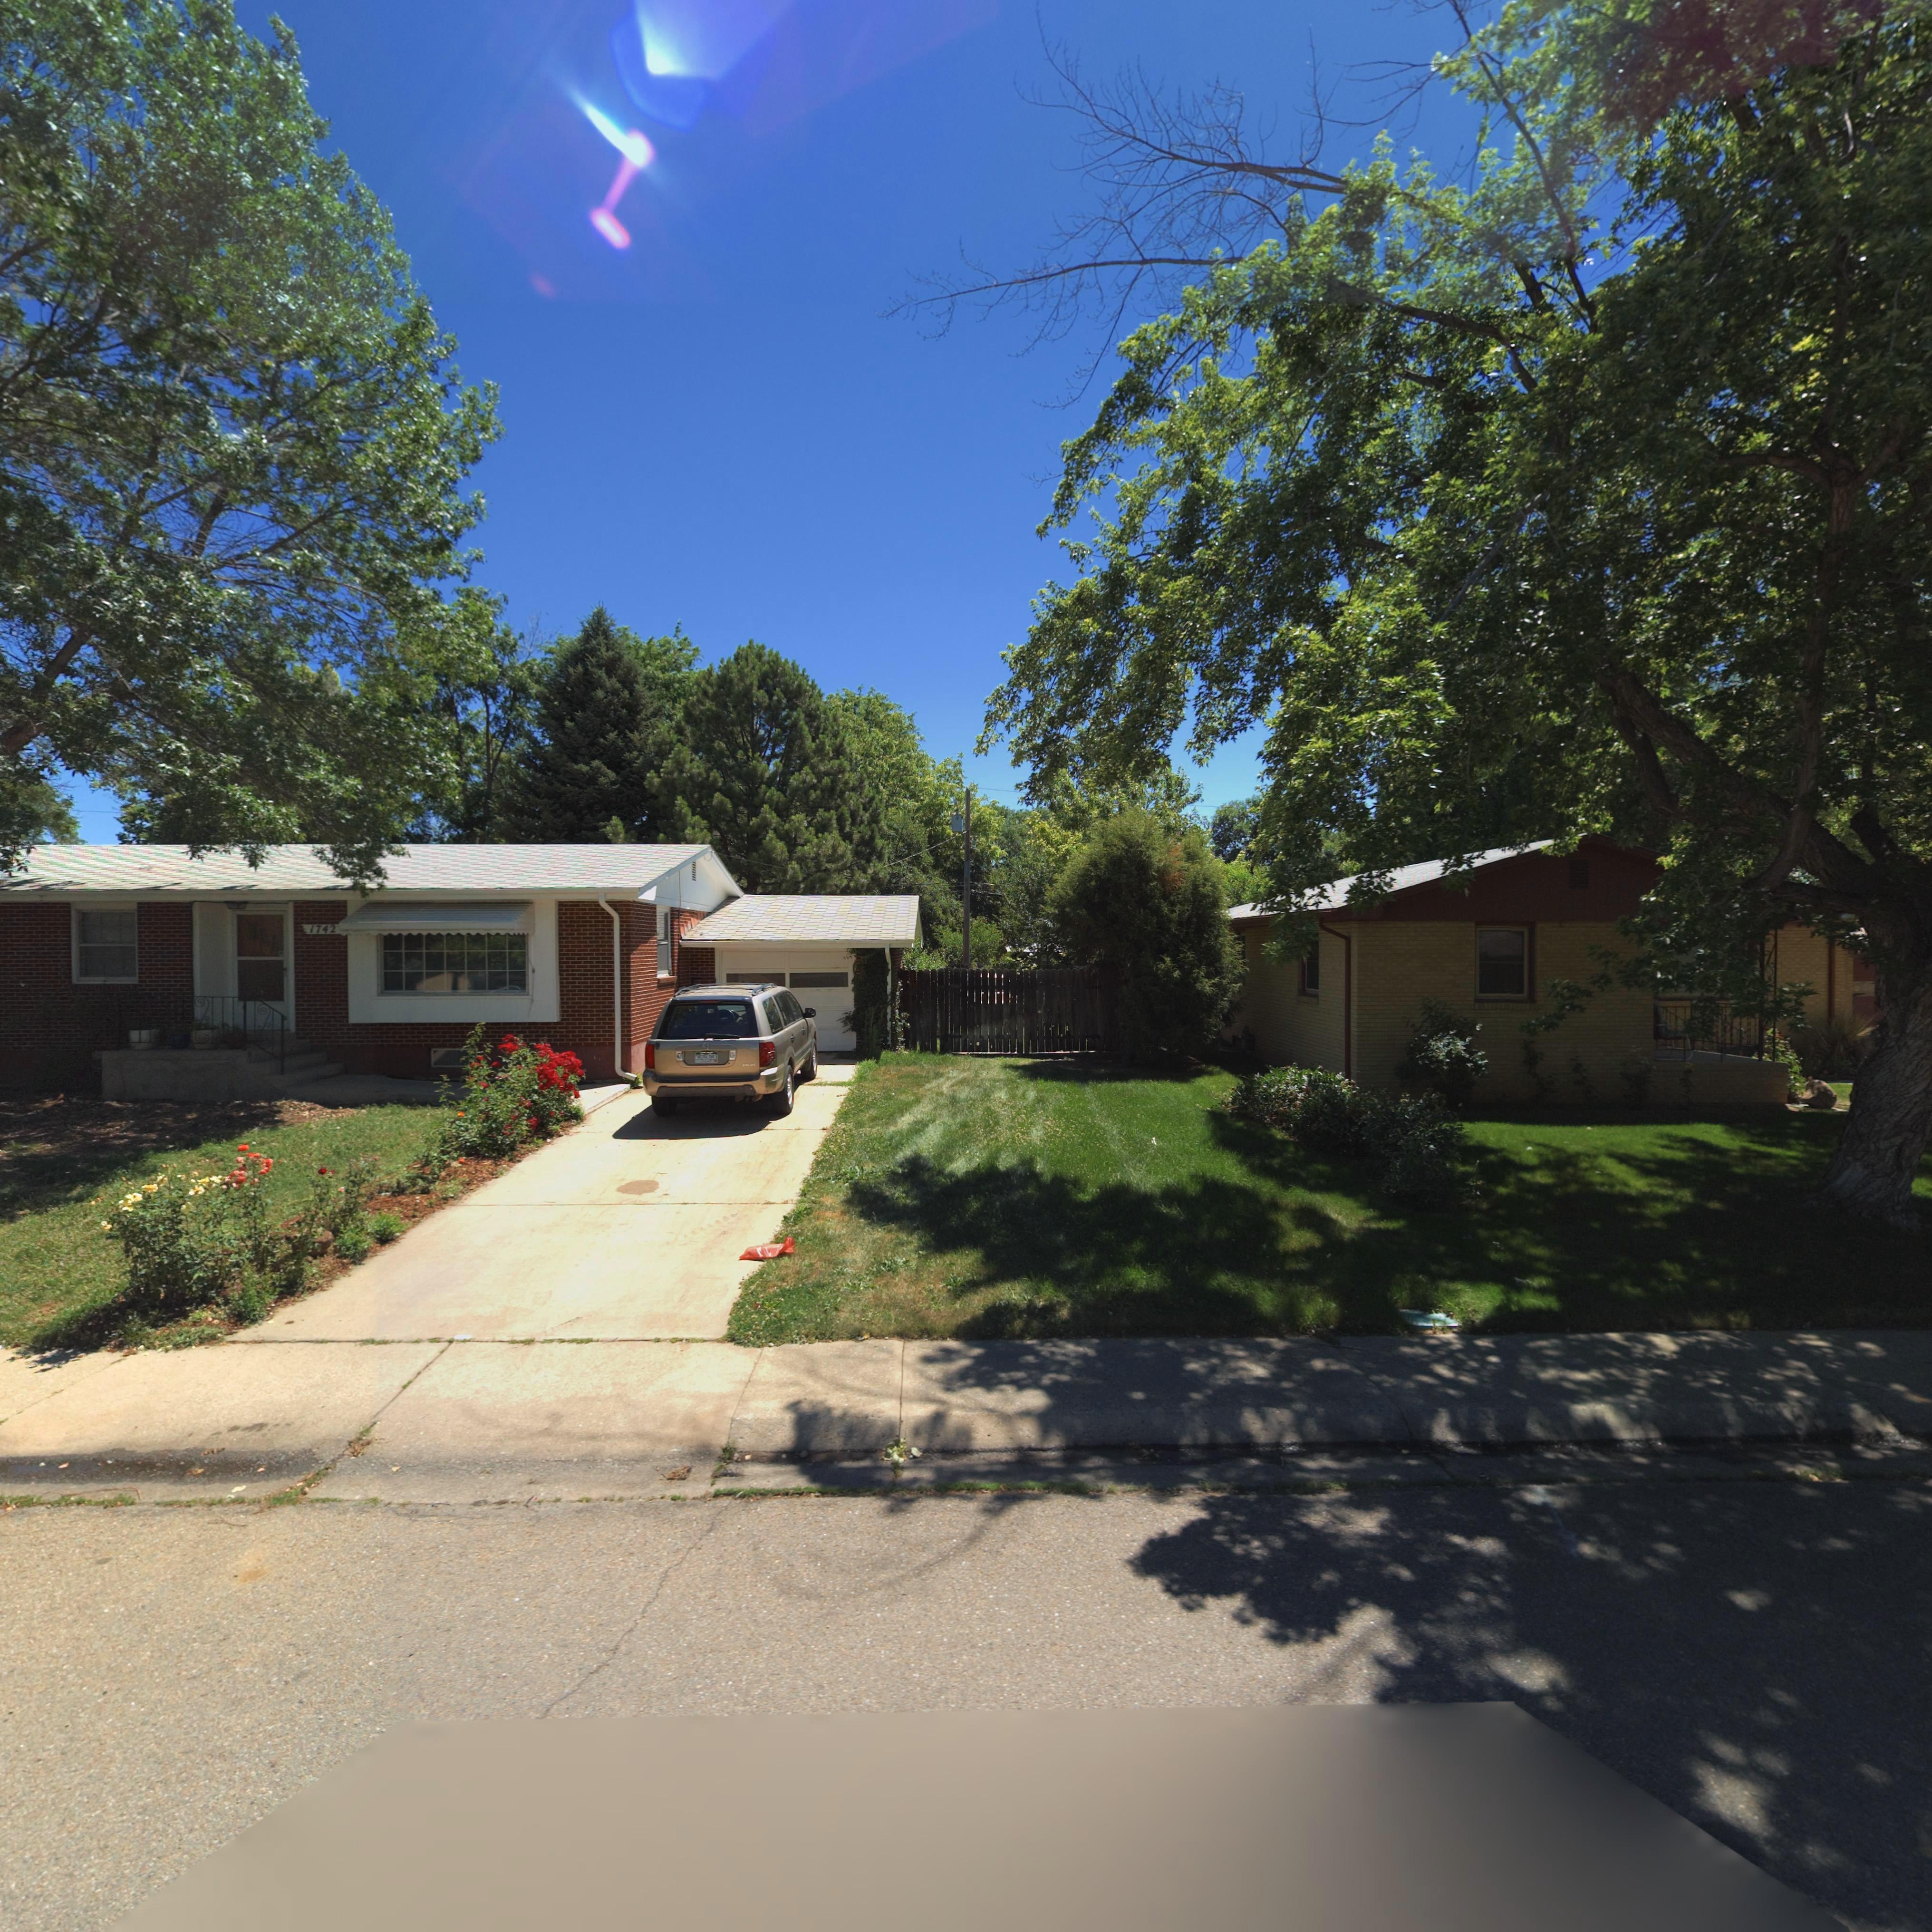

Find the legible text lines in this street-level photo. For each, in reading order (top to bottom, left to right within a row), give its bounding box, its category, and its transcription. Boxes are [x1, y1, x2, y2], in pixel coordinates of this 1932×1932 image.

[309, 924, 336, 934] StreetNumber: 1742